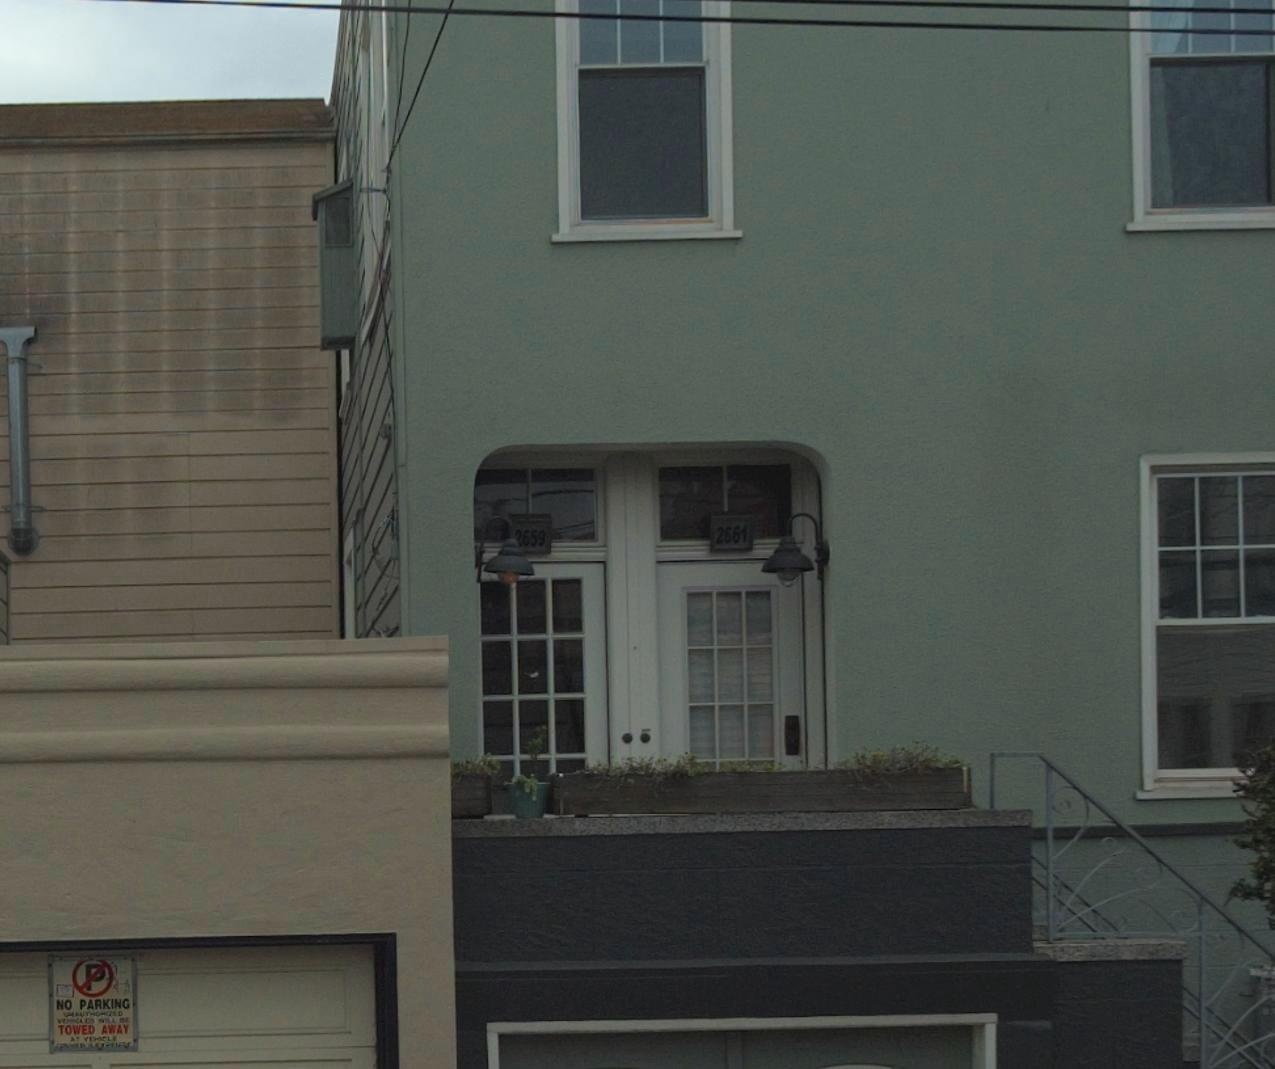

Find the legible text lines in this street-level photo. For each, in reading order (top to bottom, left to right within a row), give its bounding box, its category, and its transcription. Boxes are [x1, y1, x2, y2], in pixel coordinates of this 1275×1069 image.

[513, 528, 547, 548] StreetNumber: *659
[715, 523, 748, 545] StreetNumber: 2661
[55, 998, 131, 1010] None: NO PARKING
[57, 1023, 130, 1036] None: TOWED AWAY